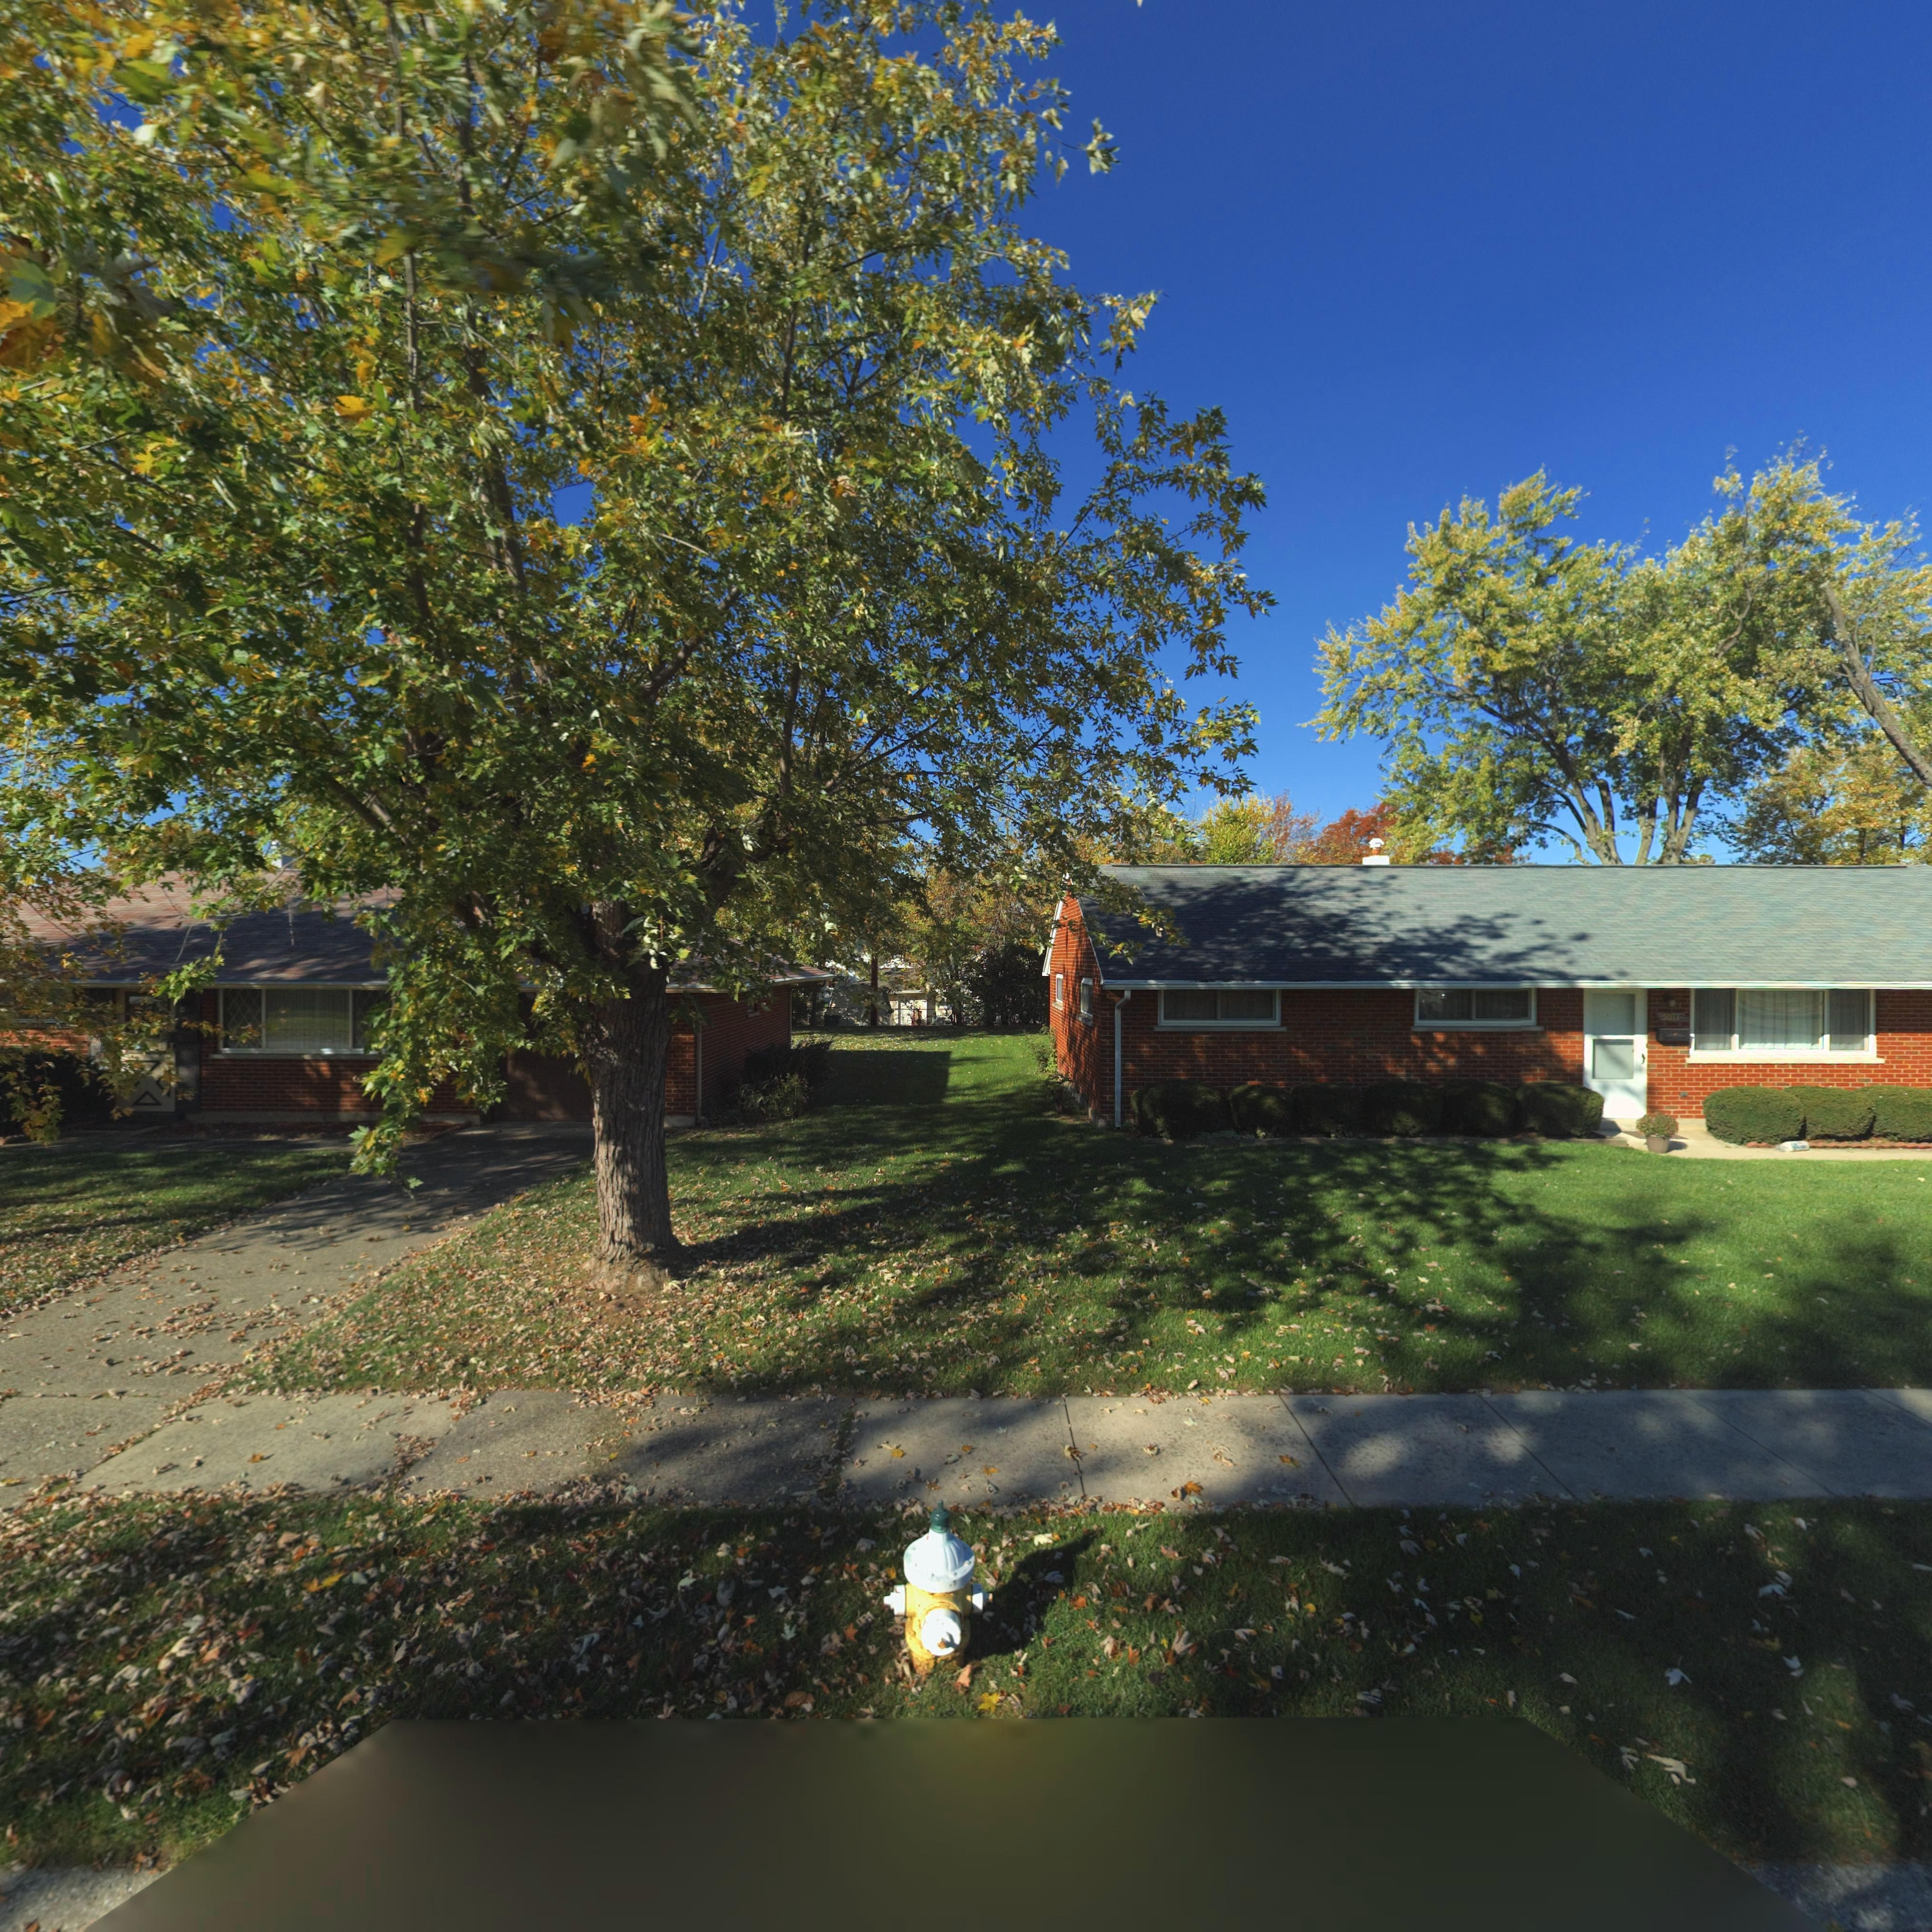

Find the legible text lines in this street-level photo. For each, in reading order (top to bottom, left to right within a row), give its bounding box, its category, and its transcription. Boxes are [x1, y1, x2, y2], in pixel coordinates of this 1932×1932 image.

[1661, 1013, 1680, 1022] StreetNumber: 5011